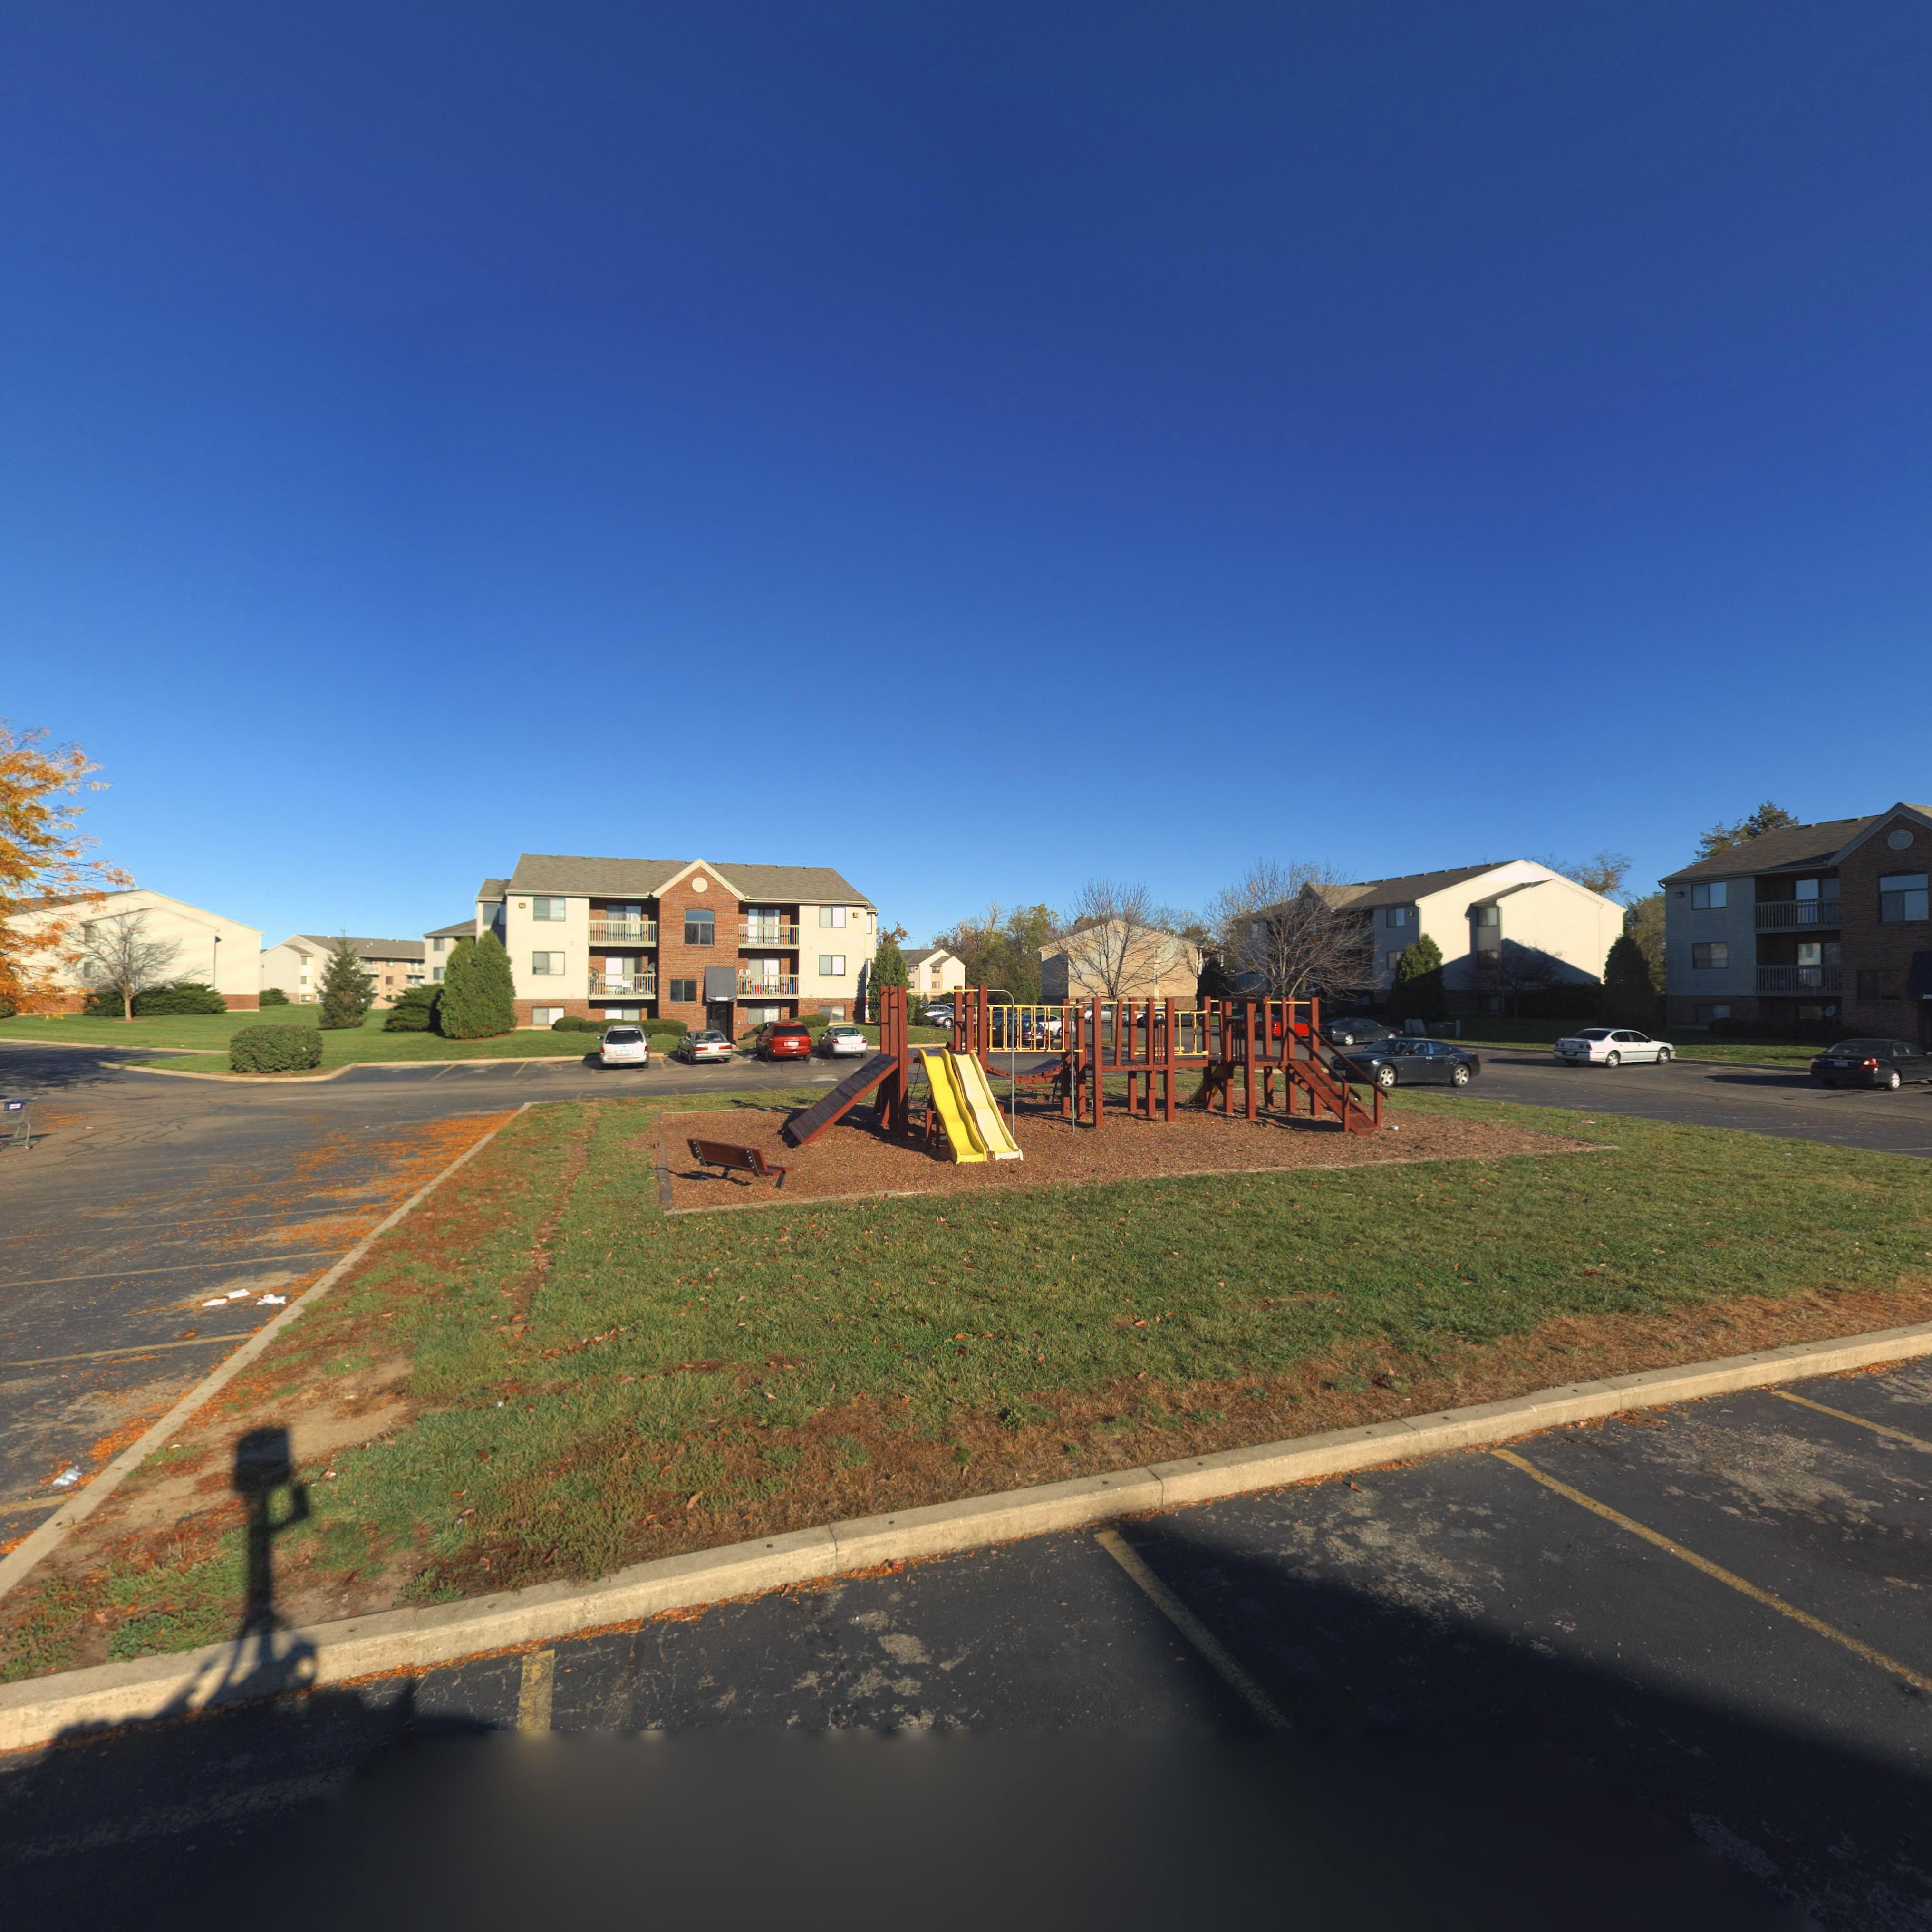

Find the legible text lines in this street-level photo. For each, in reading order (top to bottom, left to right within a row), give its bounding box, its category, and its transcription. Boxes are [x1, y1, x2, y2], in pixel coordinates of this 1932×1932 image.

[1922, 994, 1932, 999] StreetNumber: 26